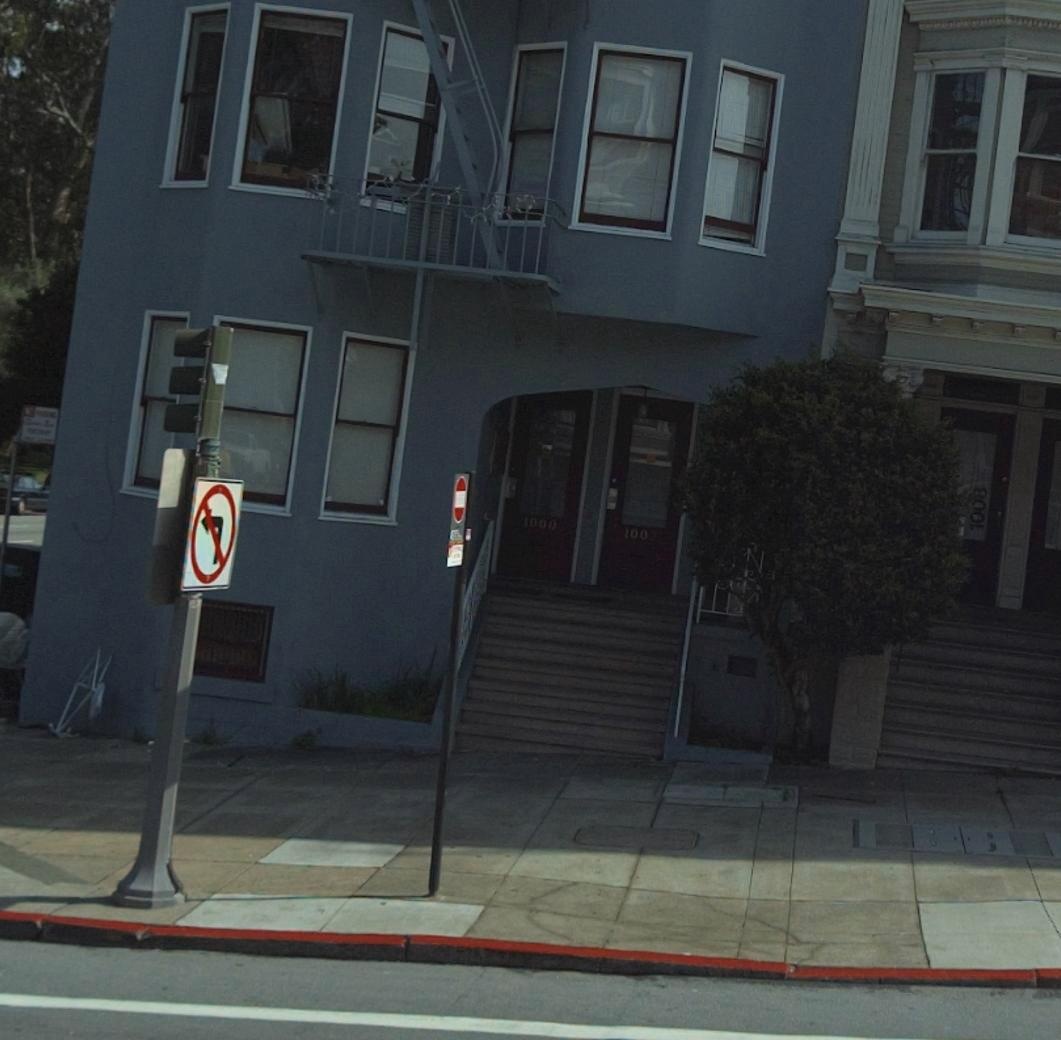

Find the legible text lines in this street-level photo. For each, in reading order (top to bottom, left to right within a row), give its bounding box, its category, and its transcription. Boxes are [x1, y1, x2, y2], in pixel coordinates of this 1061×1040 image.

[522, 514, 559, 533] StreetNumber: 1000
[622, 524, 658, 544] StreetNumber: 100*